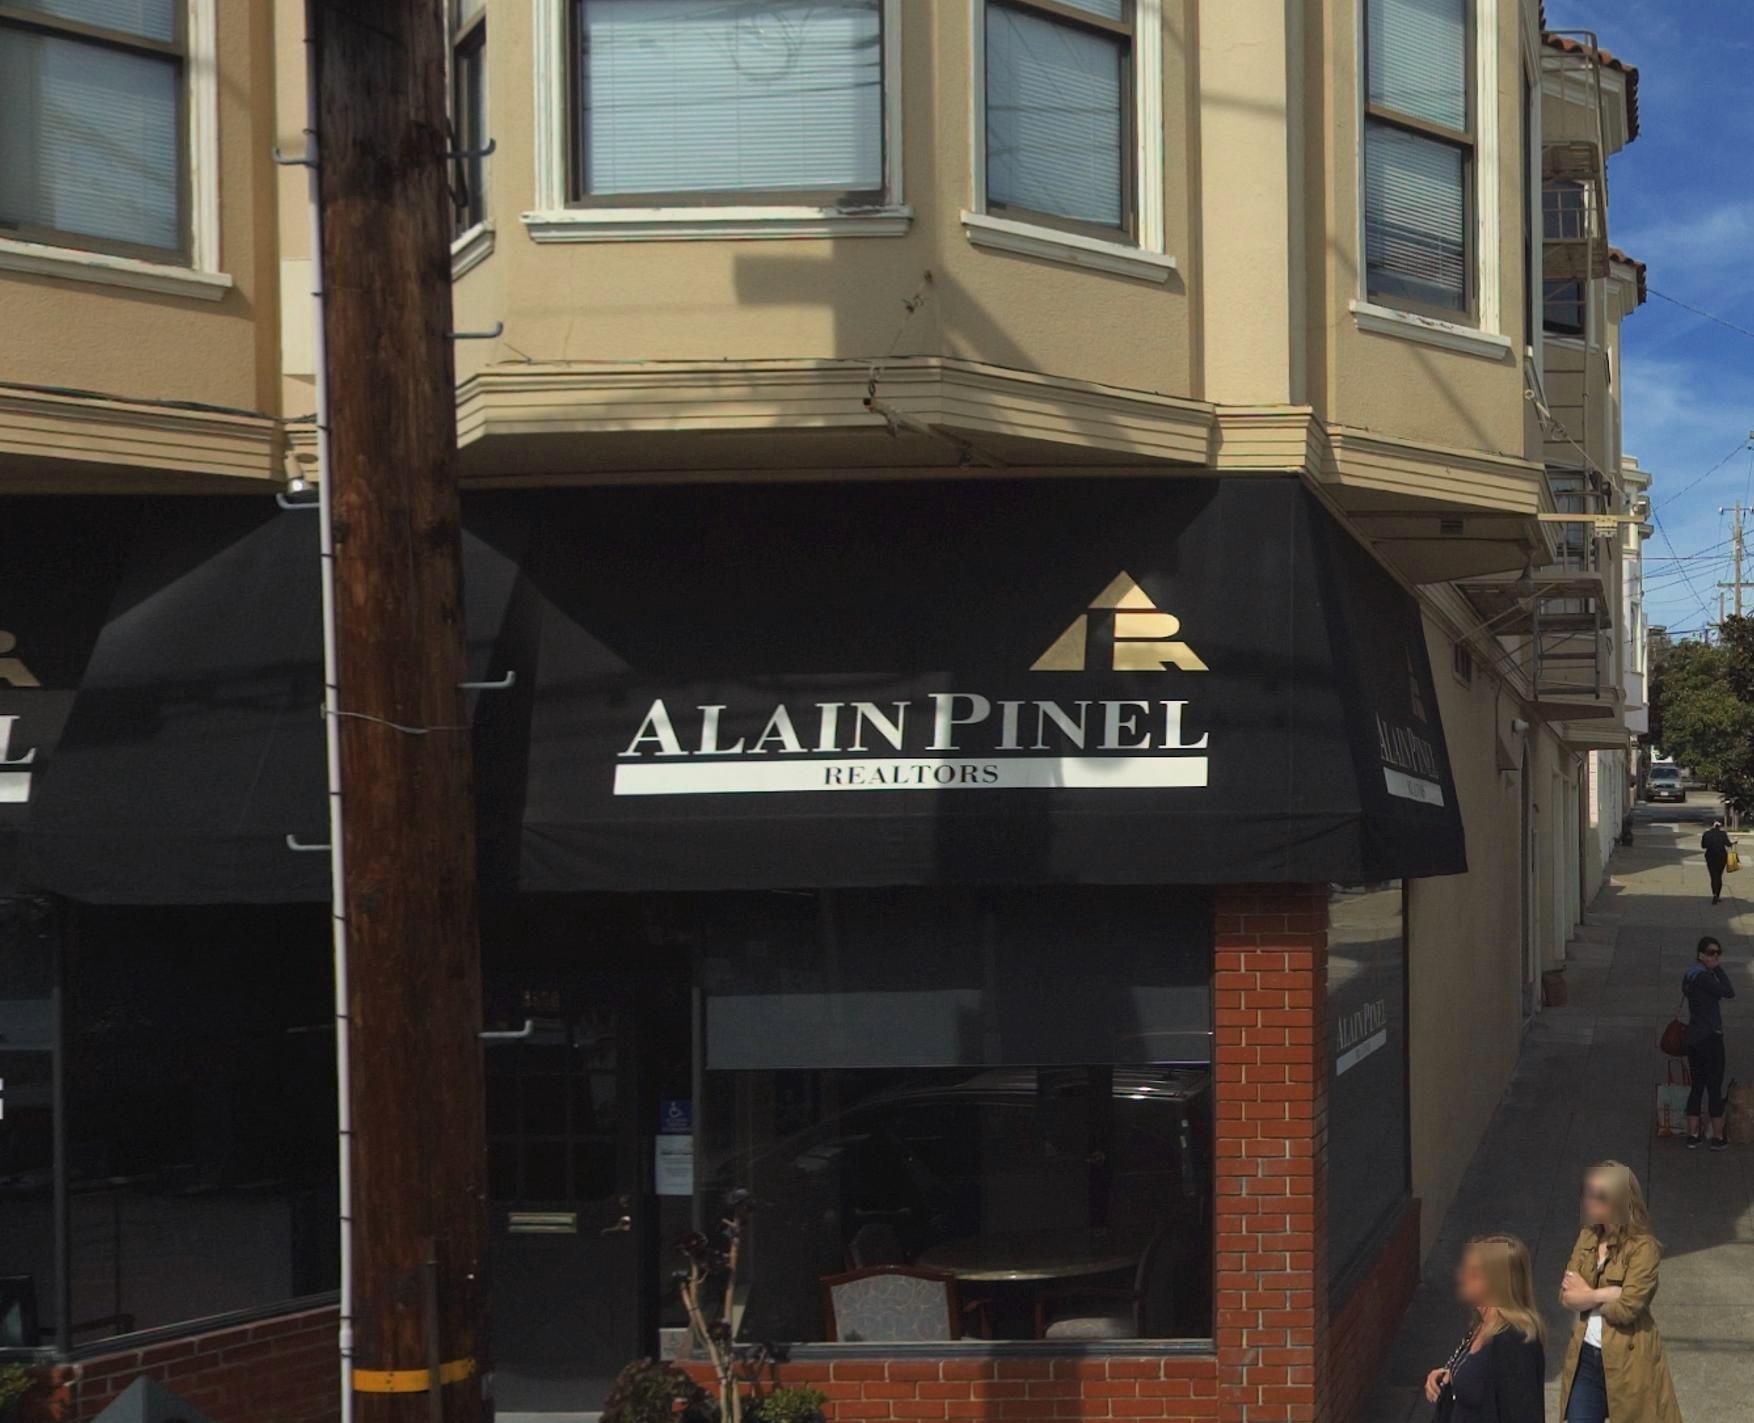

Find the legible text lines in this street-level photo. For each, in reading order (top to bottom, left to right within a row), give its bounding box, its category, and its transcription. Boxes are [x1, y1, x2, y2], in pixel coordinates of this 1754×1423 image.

[611, 691, 1209, 759] BusinessName: ALAIN PINEL
[1374, 711, 1420, 775] BusinessName: ALAIN P
[821, 763, 999, 785] BusinessName: REALTORS
[522, 988, 562, 1010] StreetNumber: 3*50
[1335, 998, 1388, 1055] BusinessName: ALAIN PINEL